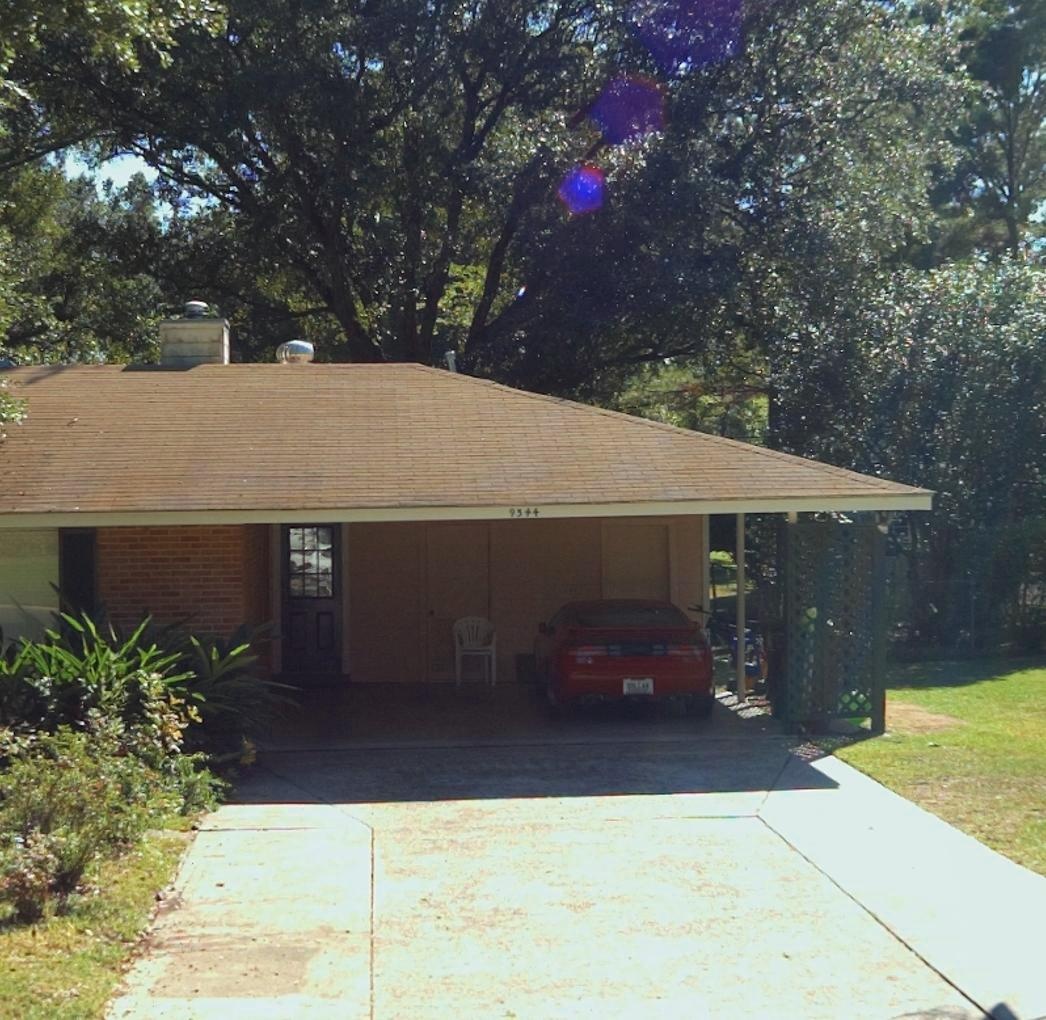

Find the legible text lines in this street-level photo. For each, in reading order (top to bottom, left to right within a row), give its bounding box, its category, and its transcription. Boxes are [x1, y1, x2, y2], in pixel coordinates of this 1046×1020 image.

[507, 506, 541, 518] StreetNumber: 9344